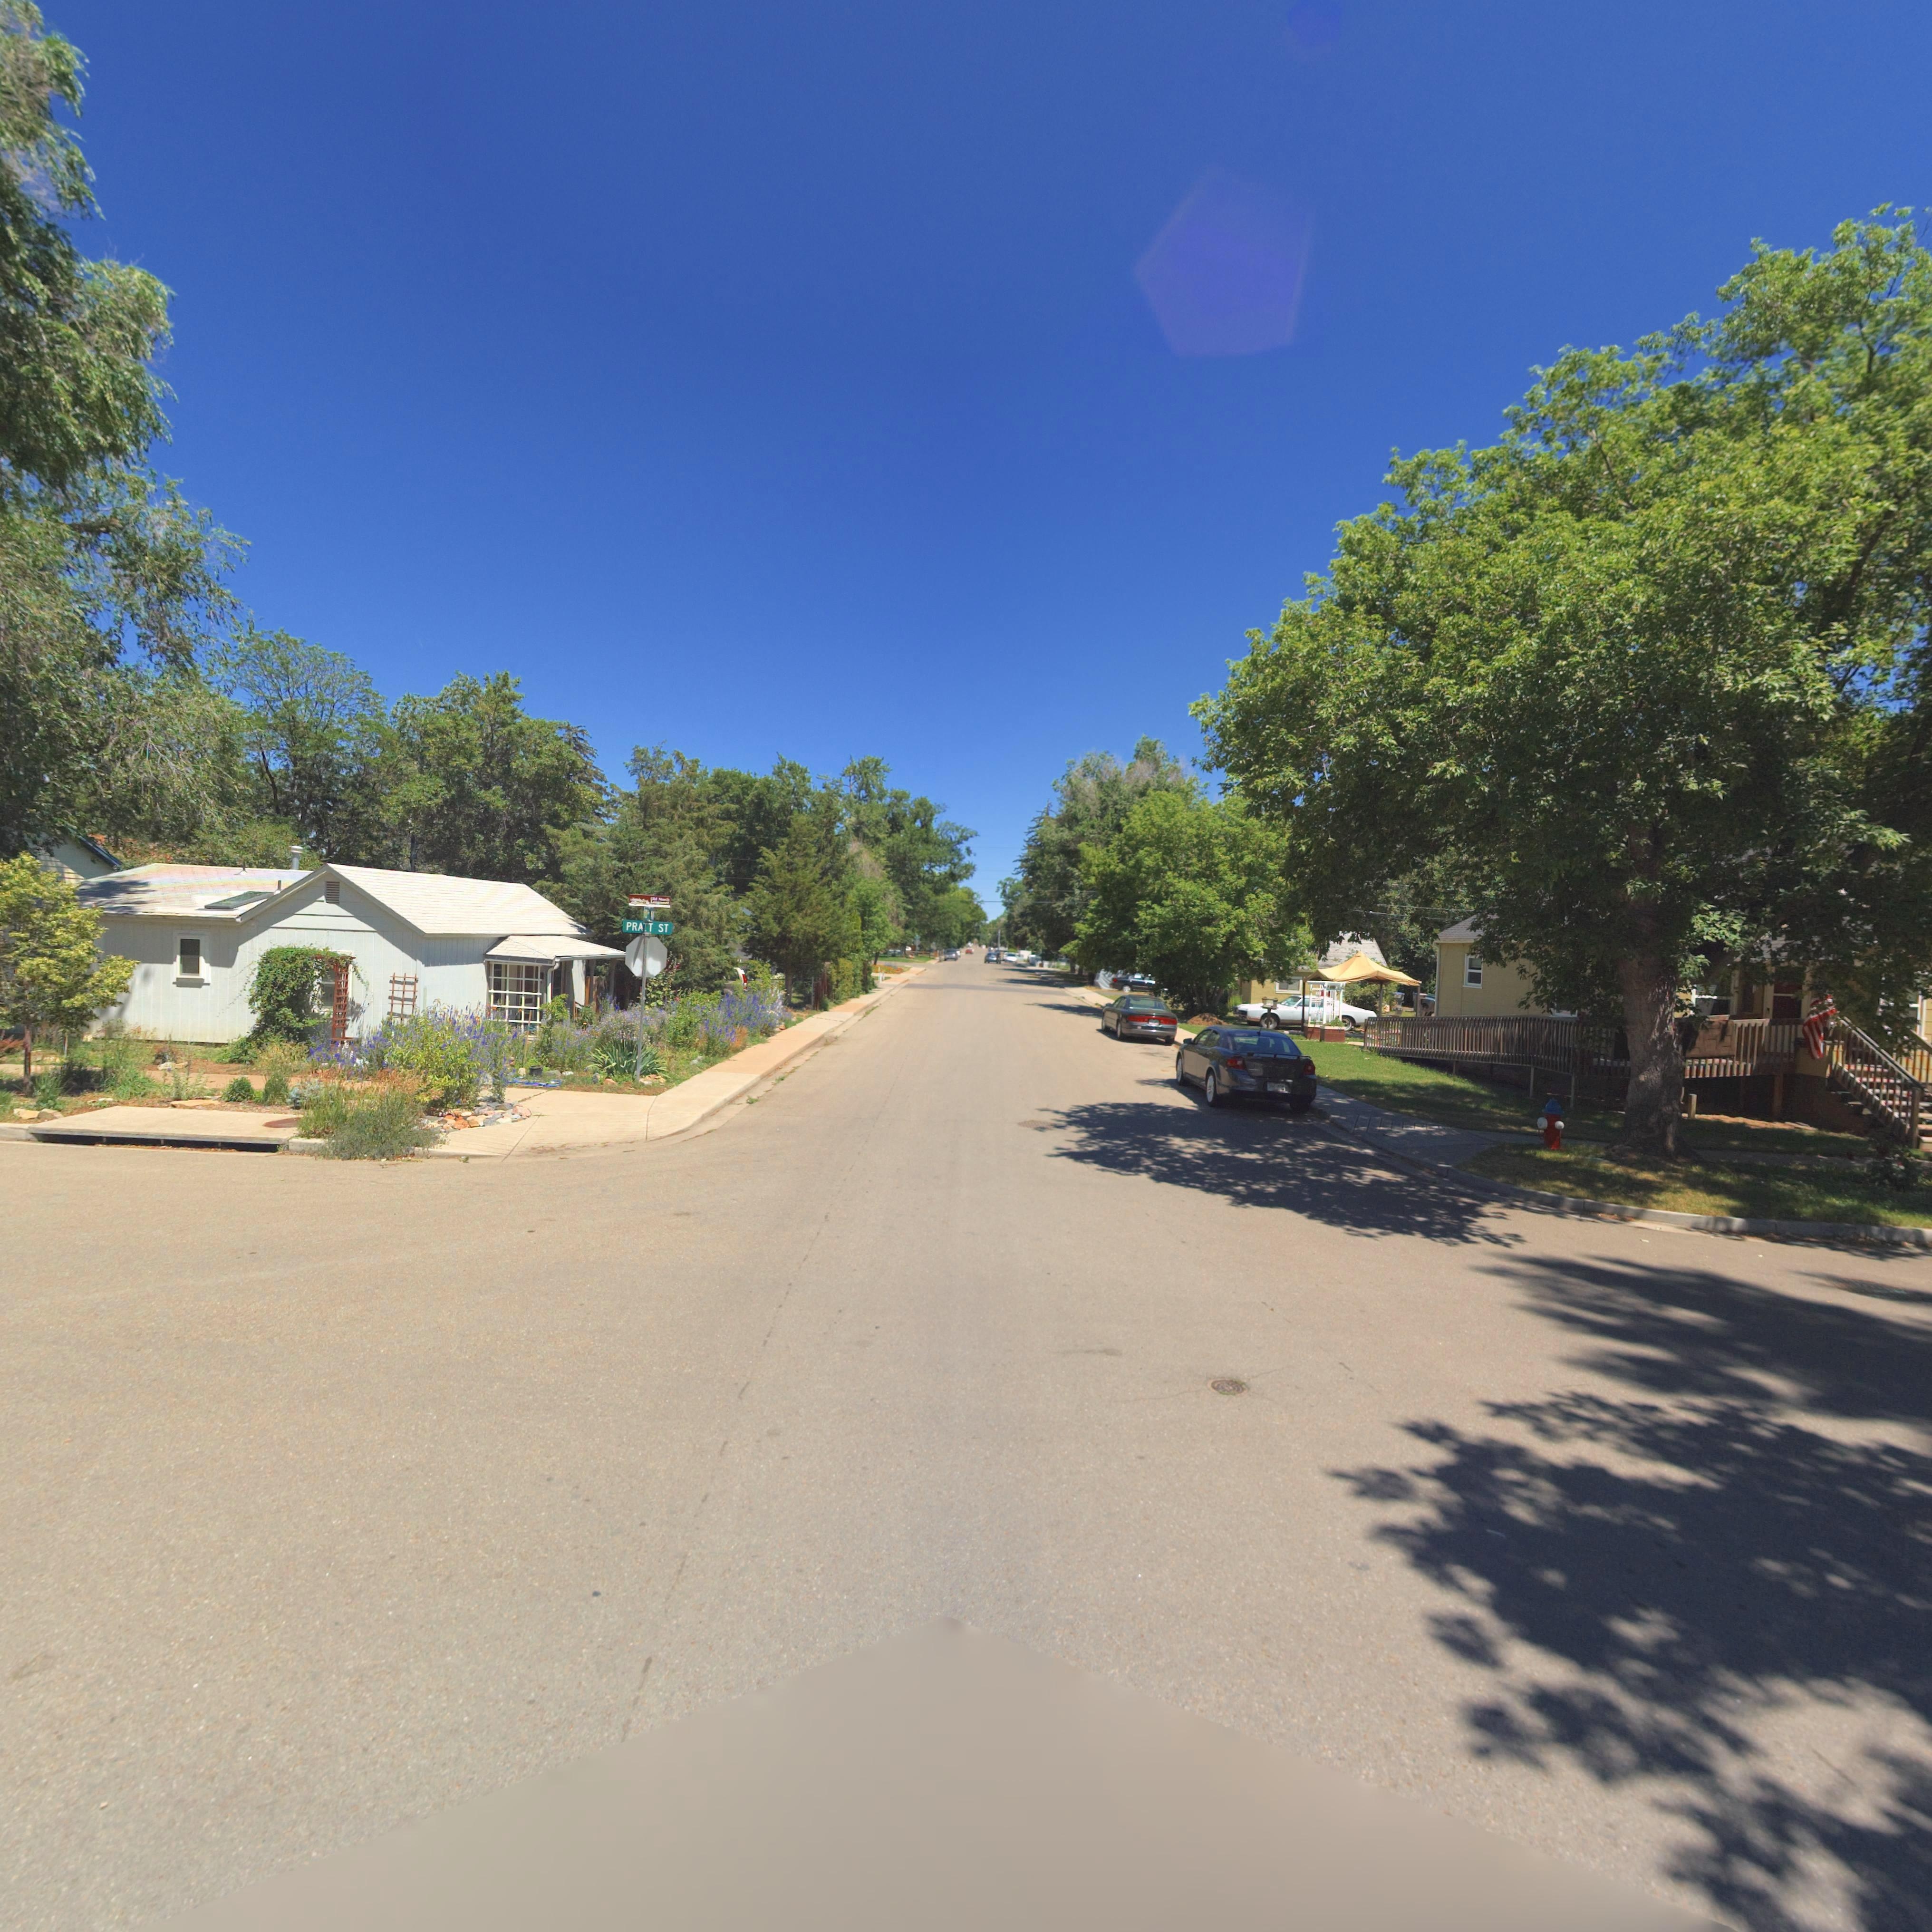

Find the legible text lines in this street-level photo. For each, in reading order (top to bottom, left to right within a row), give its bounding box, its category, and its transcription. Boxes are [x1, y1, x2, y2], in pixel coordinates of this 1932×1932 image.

[643, 908, 655, 920] StreetName: 10** **
[626, 921, 669, 933] StreetName: PRATT ST